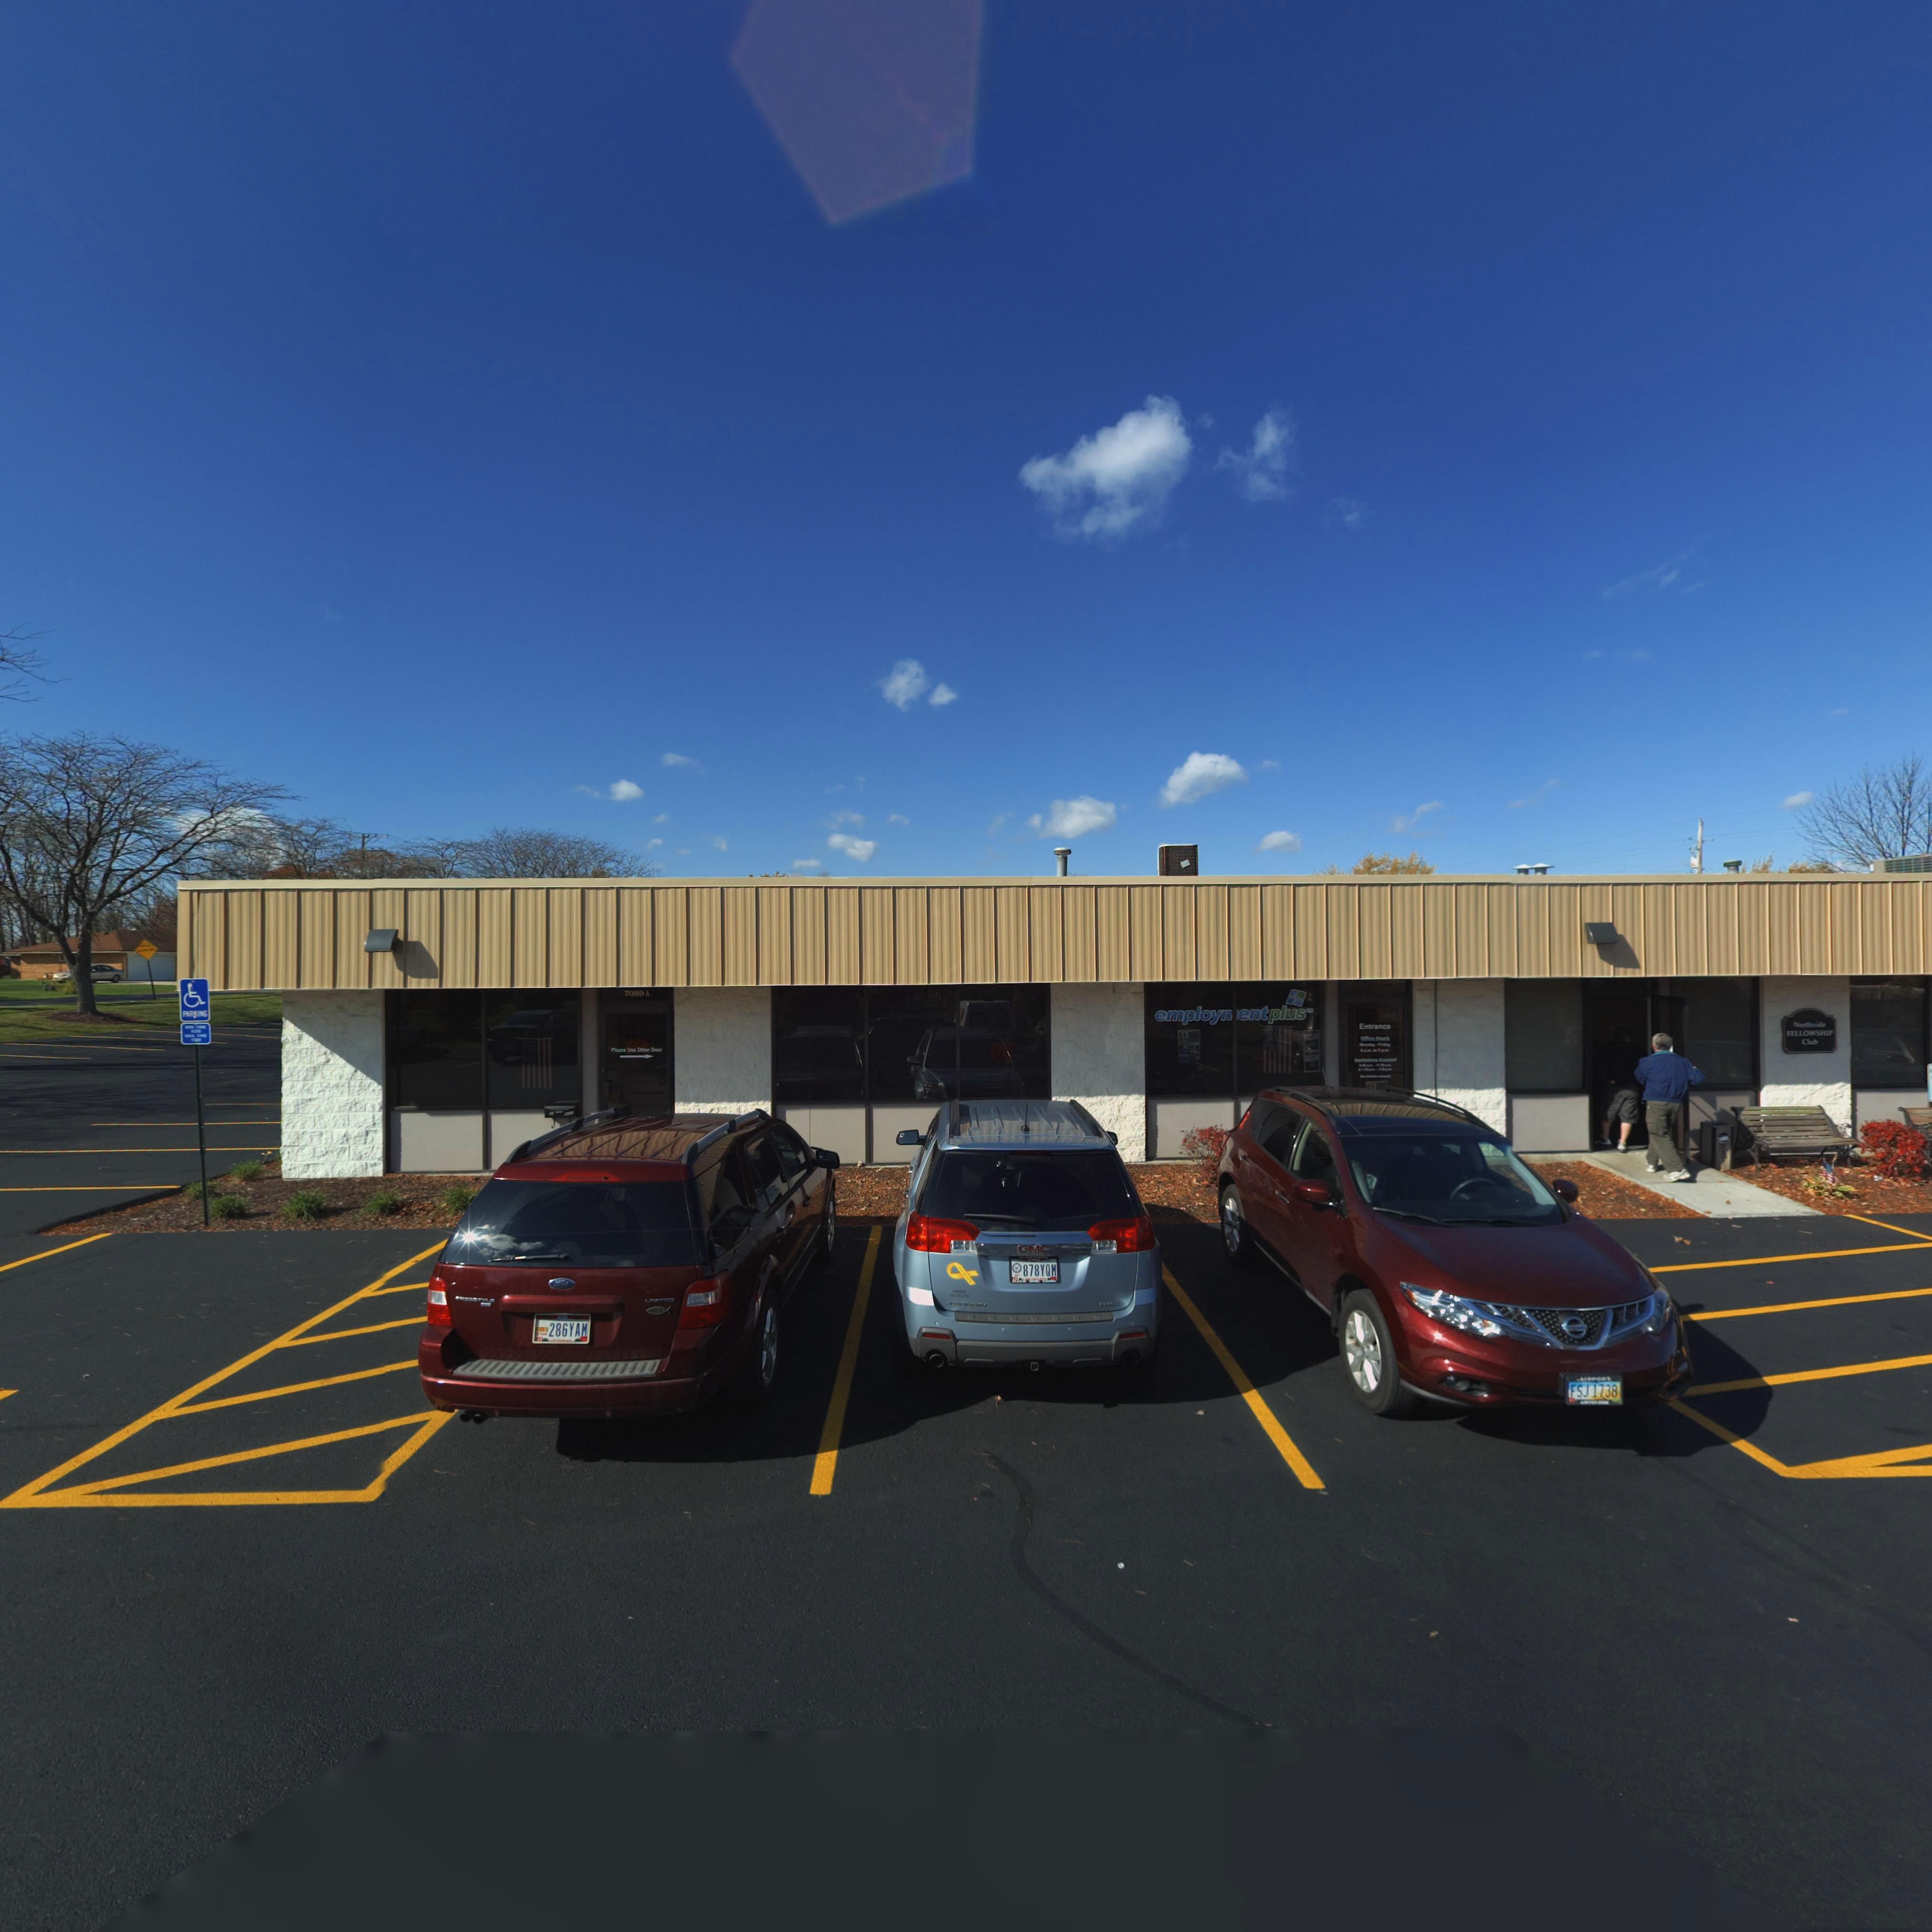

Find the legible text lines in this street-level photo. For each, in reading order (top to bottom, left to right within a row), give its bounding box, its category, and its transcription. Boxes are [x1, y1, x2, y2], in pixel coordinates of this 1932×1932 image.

[623, 989, 651, 998] StreetNumber: 7089 A